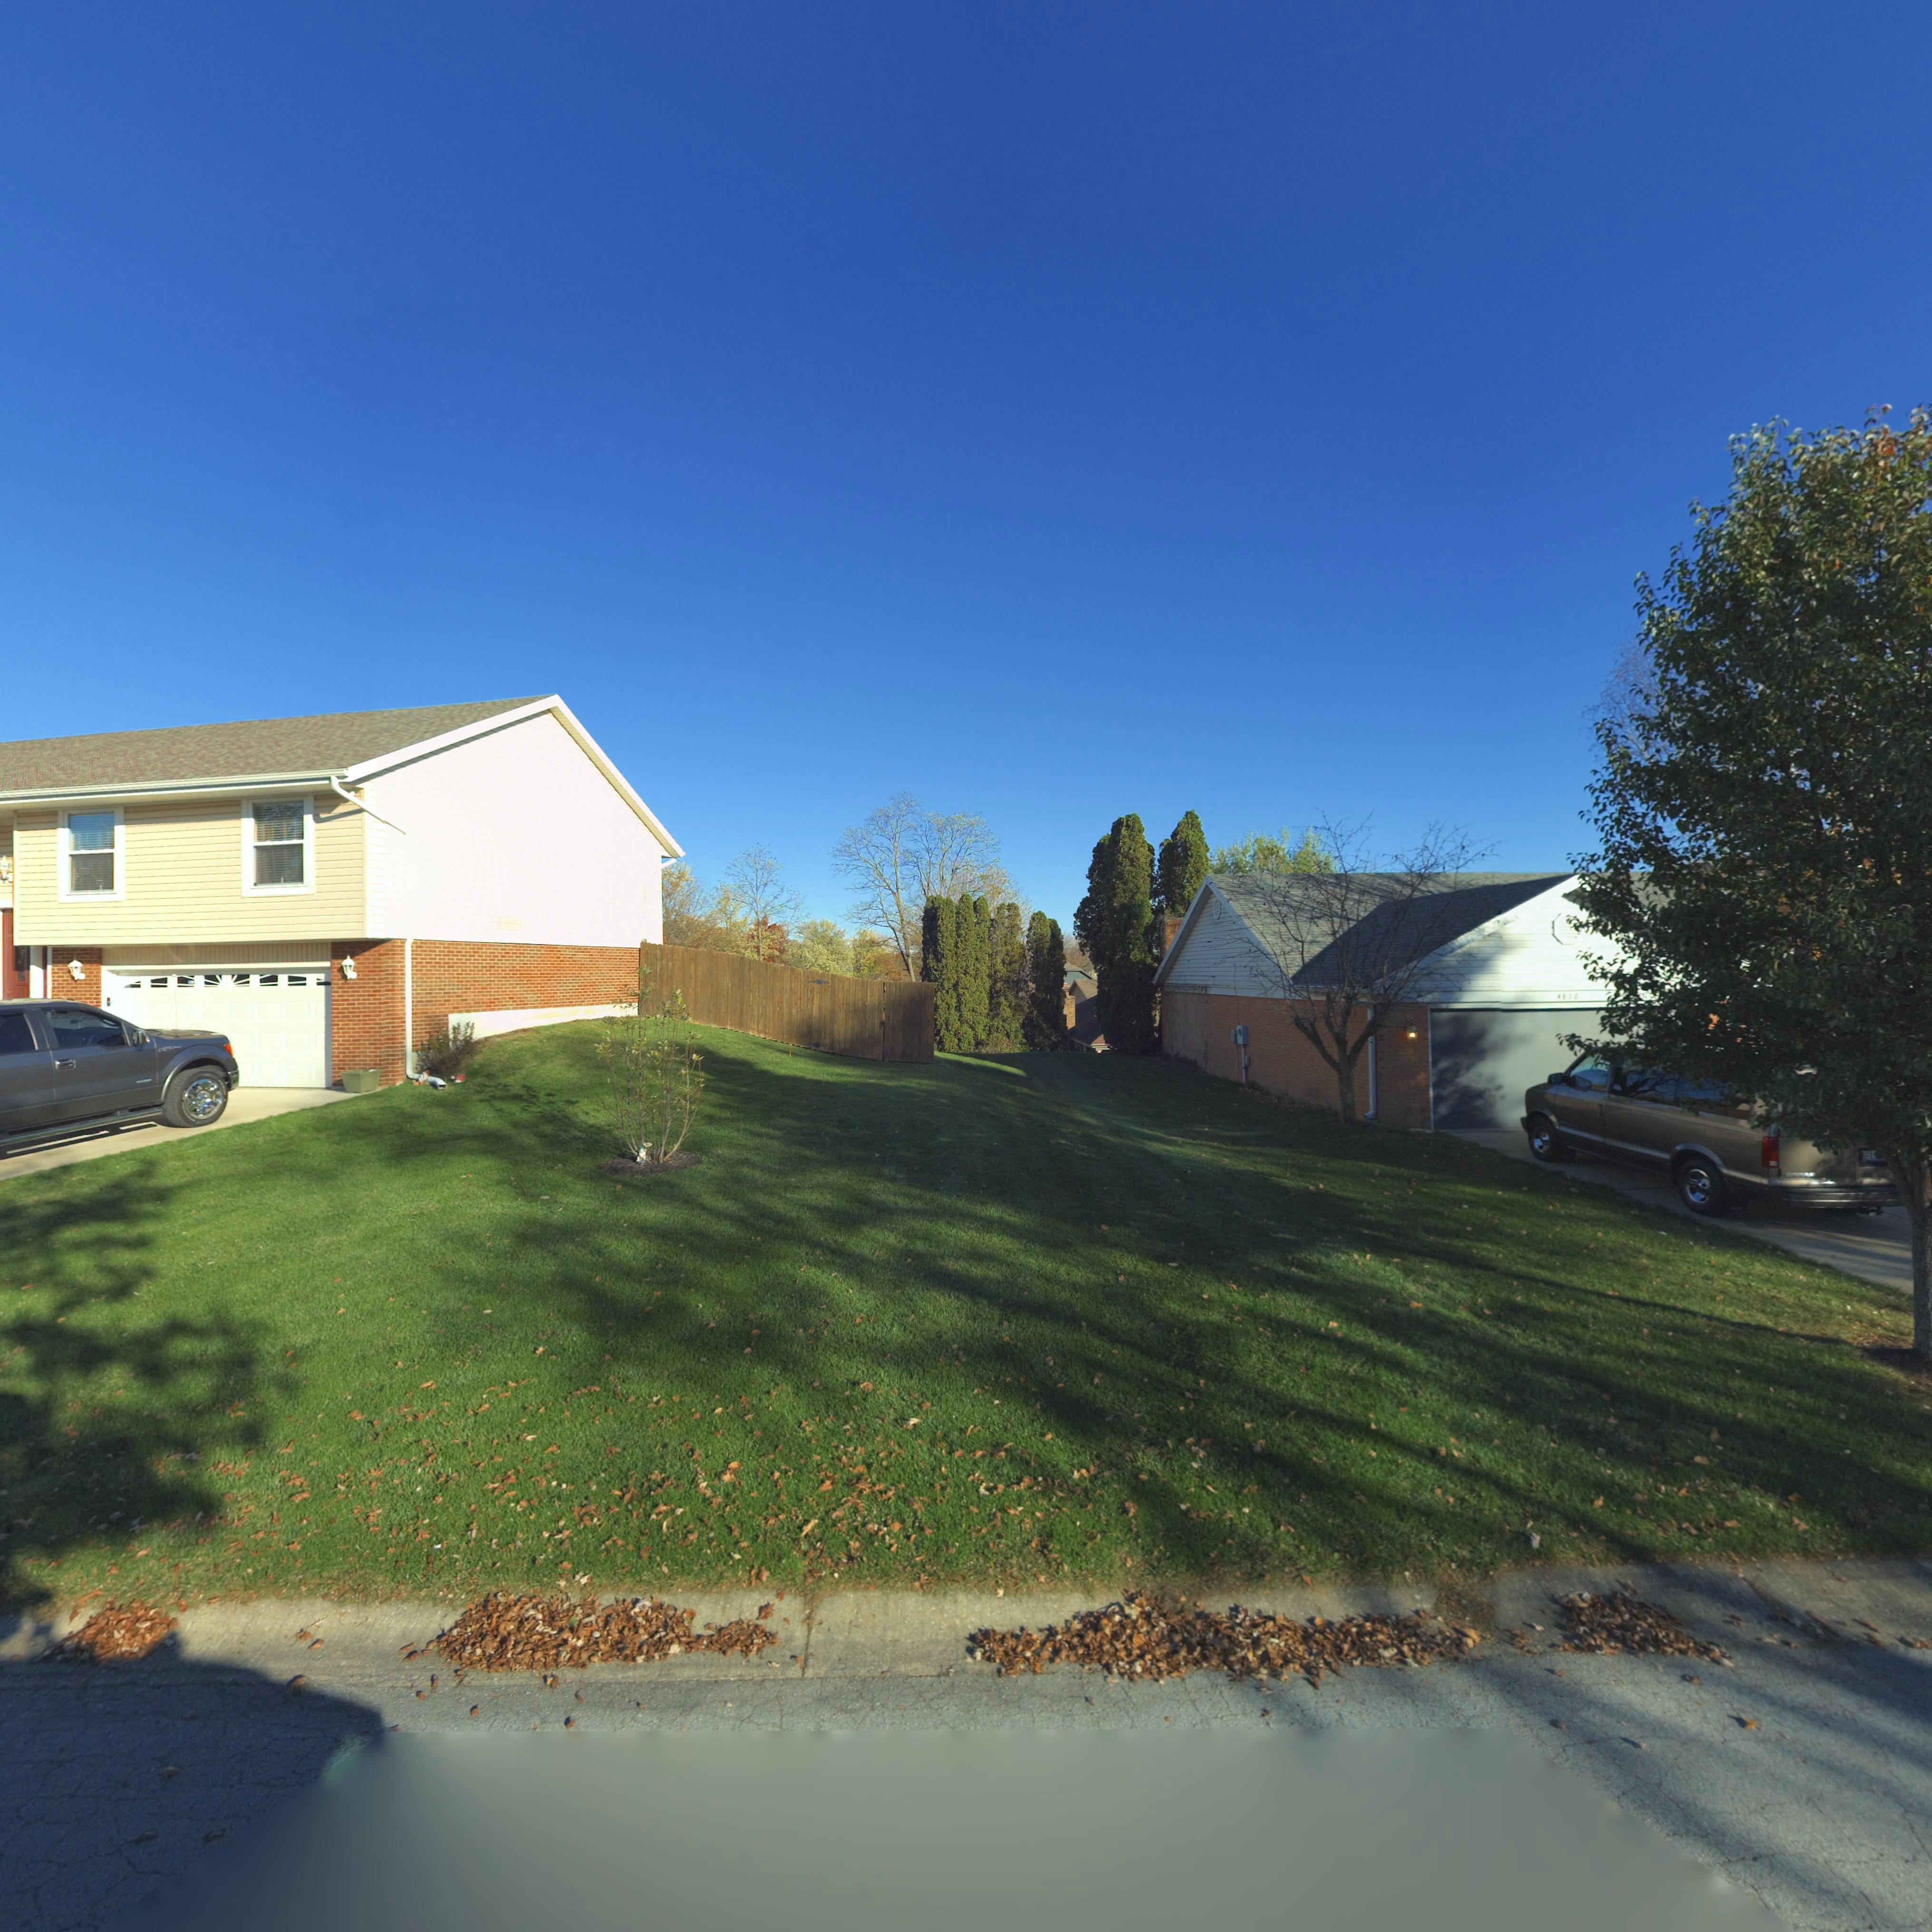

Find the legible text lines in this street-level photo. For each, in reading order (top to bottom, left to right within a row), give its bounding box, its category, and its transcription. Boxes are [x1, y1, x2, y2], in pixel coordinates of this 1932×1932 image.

[1556, 993, 1579, 1001] StreetNumber: 4810